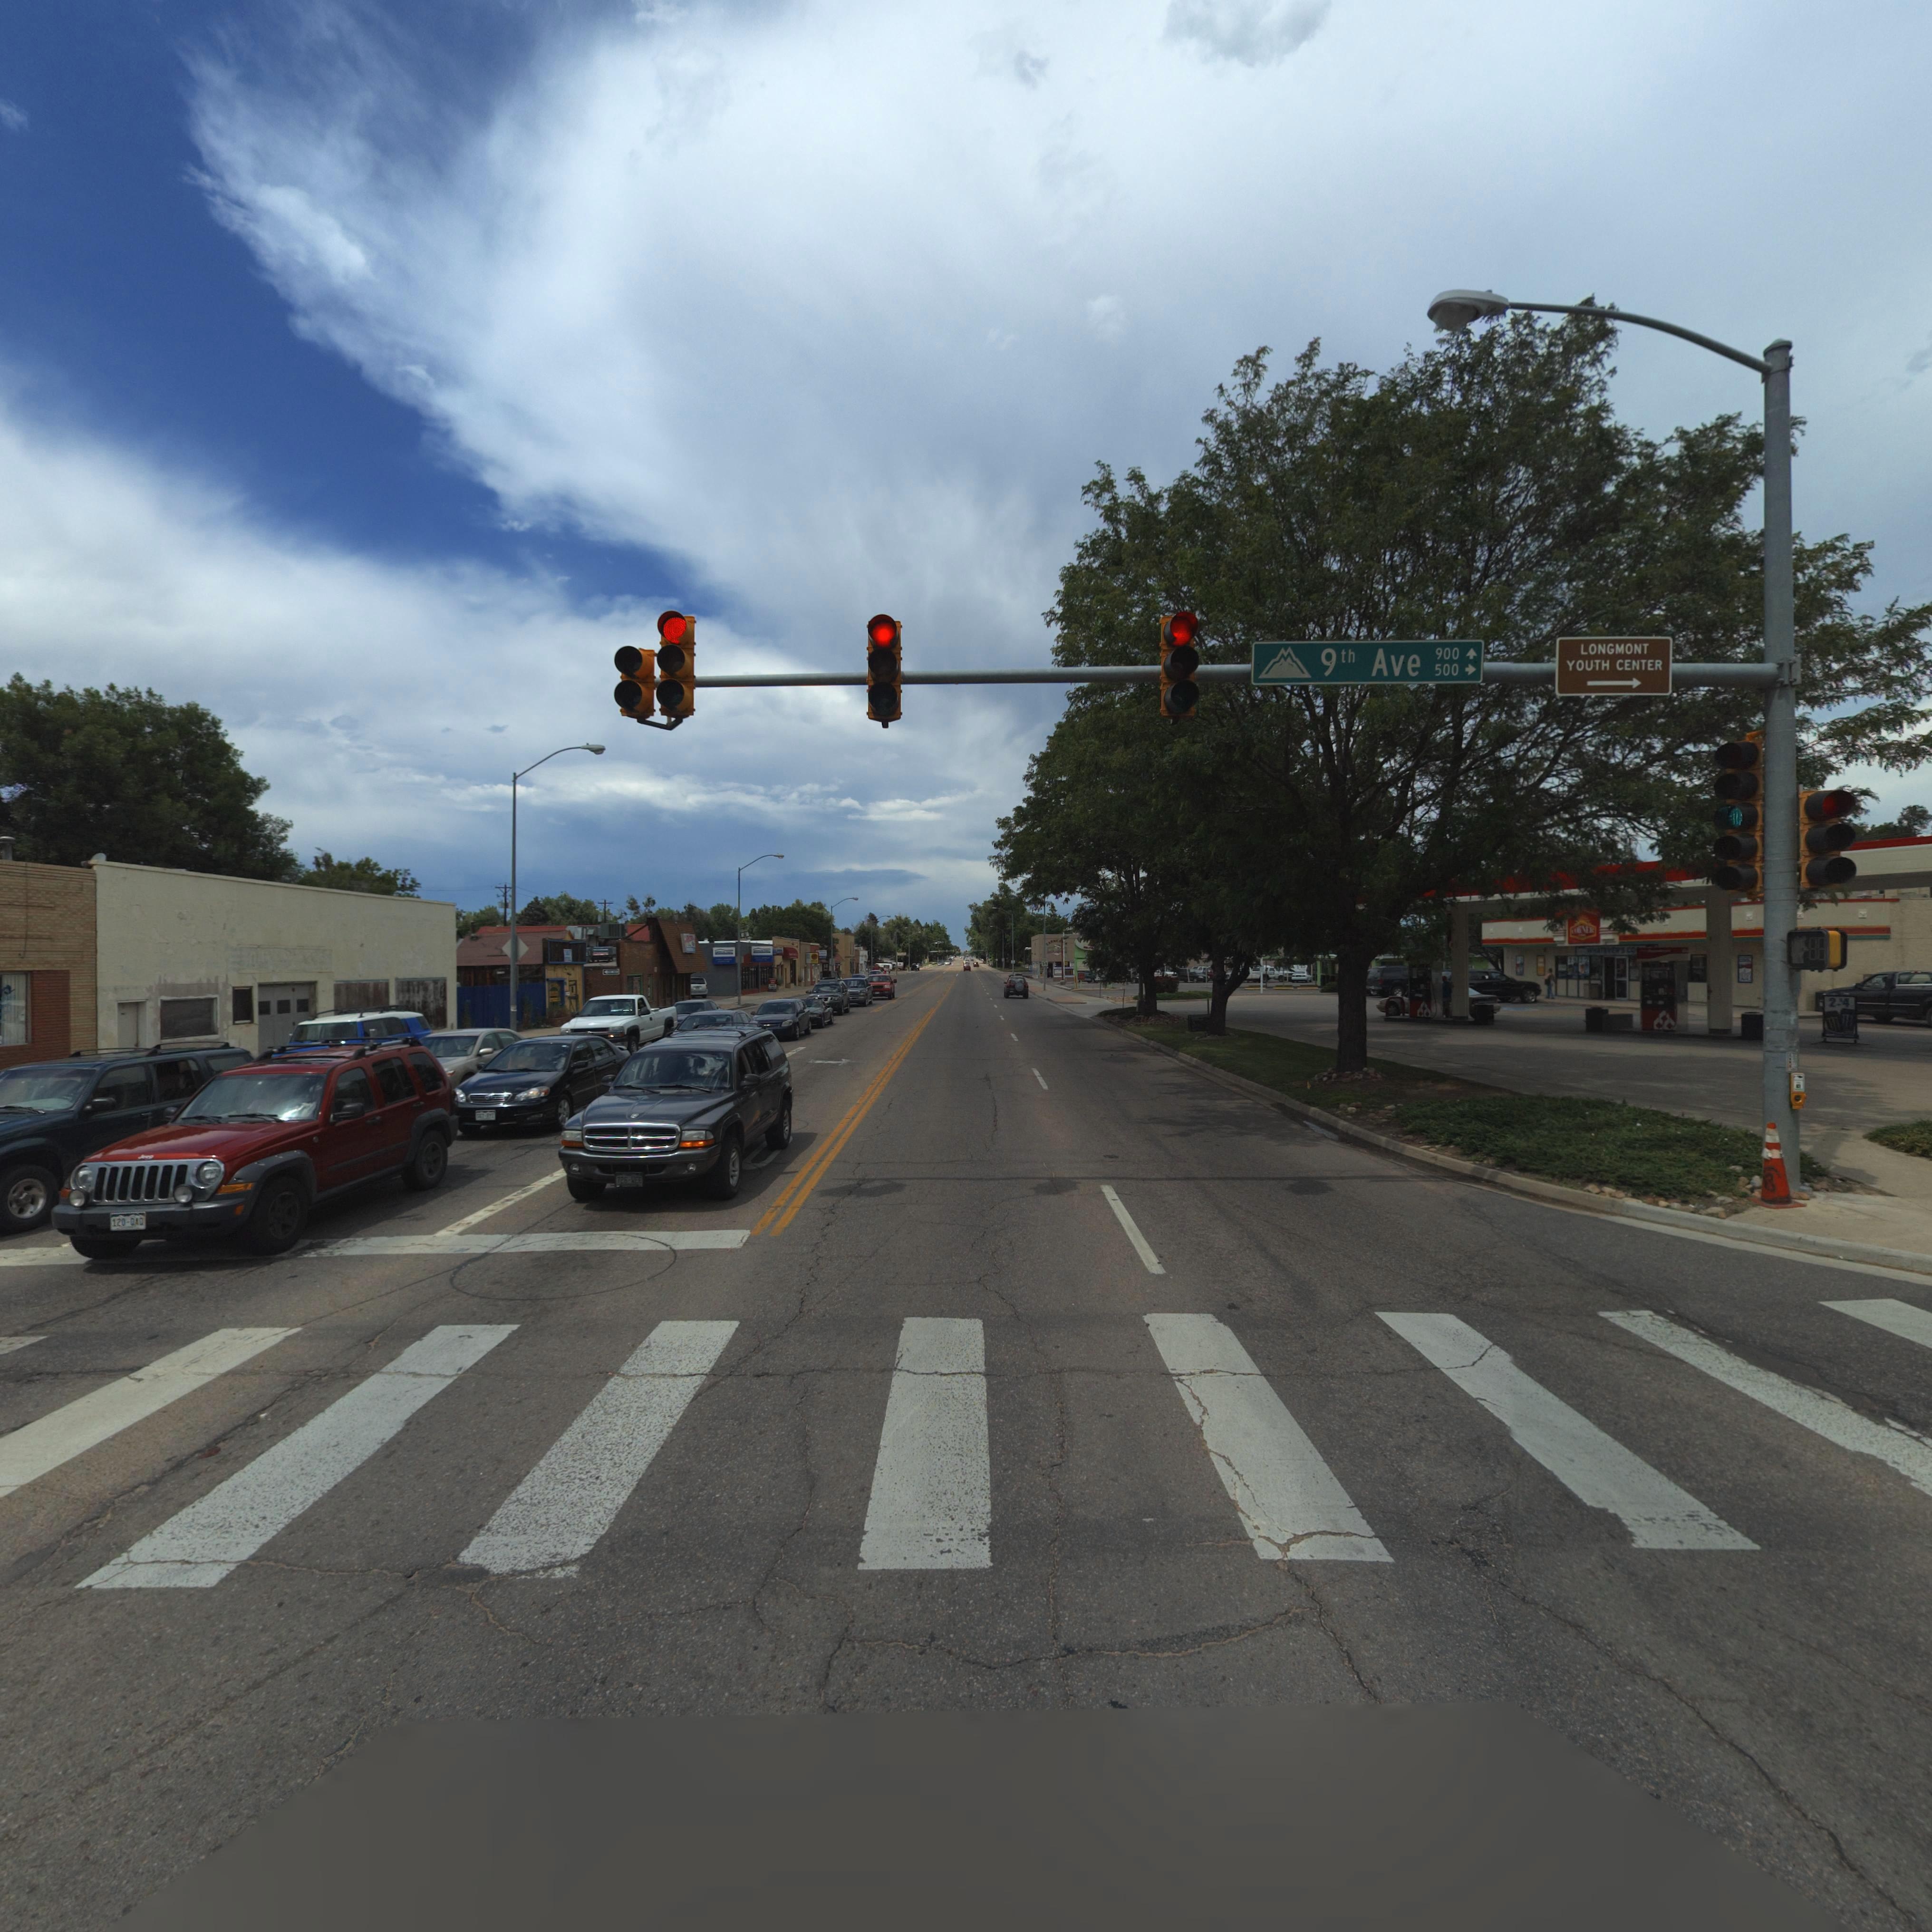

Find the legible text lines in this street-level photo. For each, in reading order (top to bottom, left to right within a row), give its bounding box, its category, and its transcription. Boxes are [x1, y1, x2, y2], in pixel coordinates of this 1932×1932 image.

[1435, 647, 1459, 660] StreetNumberRange: 900
[1320, 647, 1421, 676] StreetName: 9th Ave
[1434, 663, 1476, 676] StreetNumberRange: 500 ->
[1571, 924, 1594, 934] BusinessName: CORNER